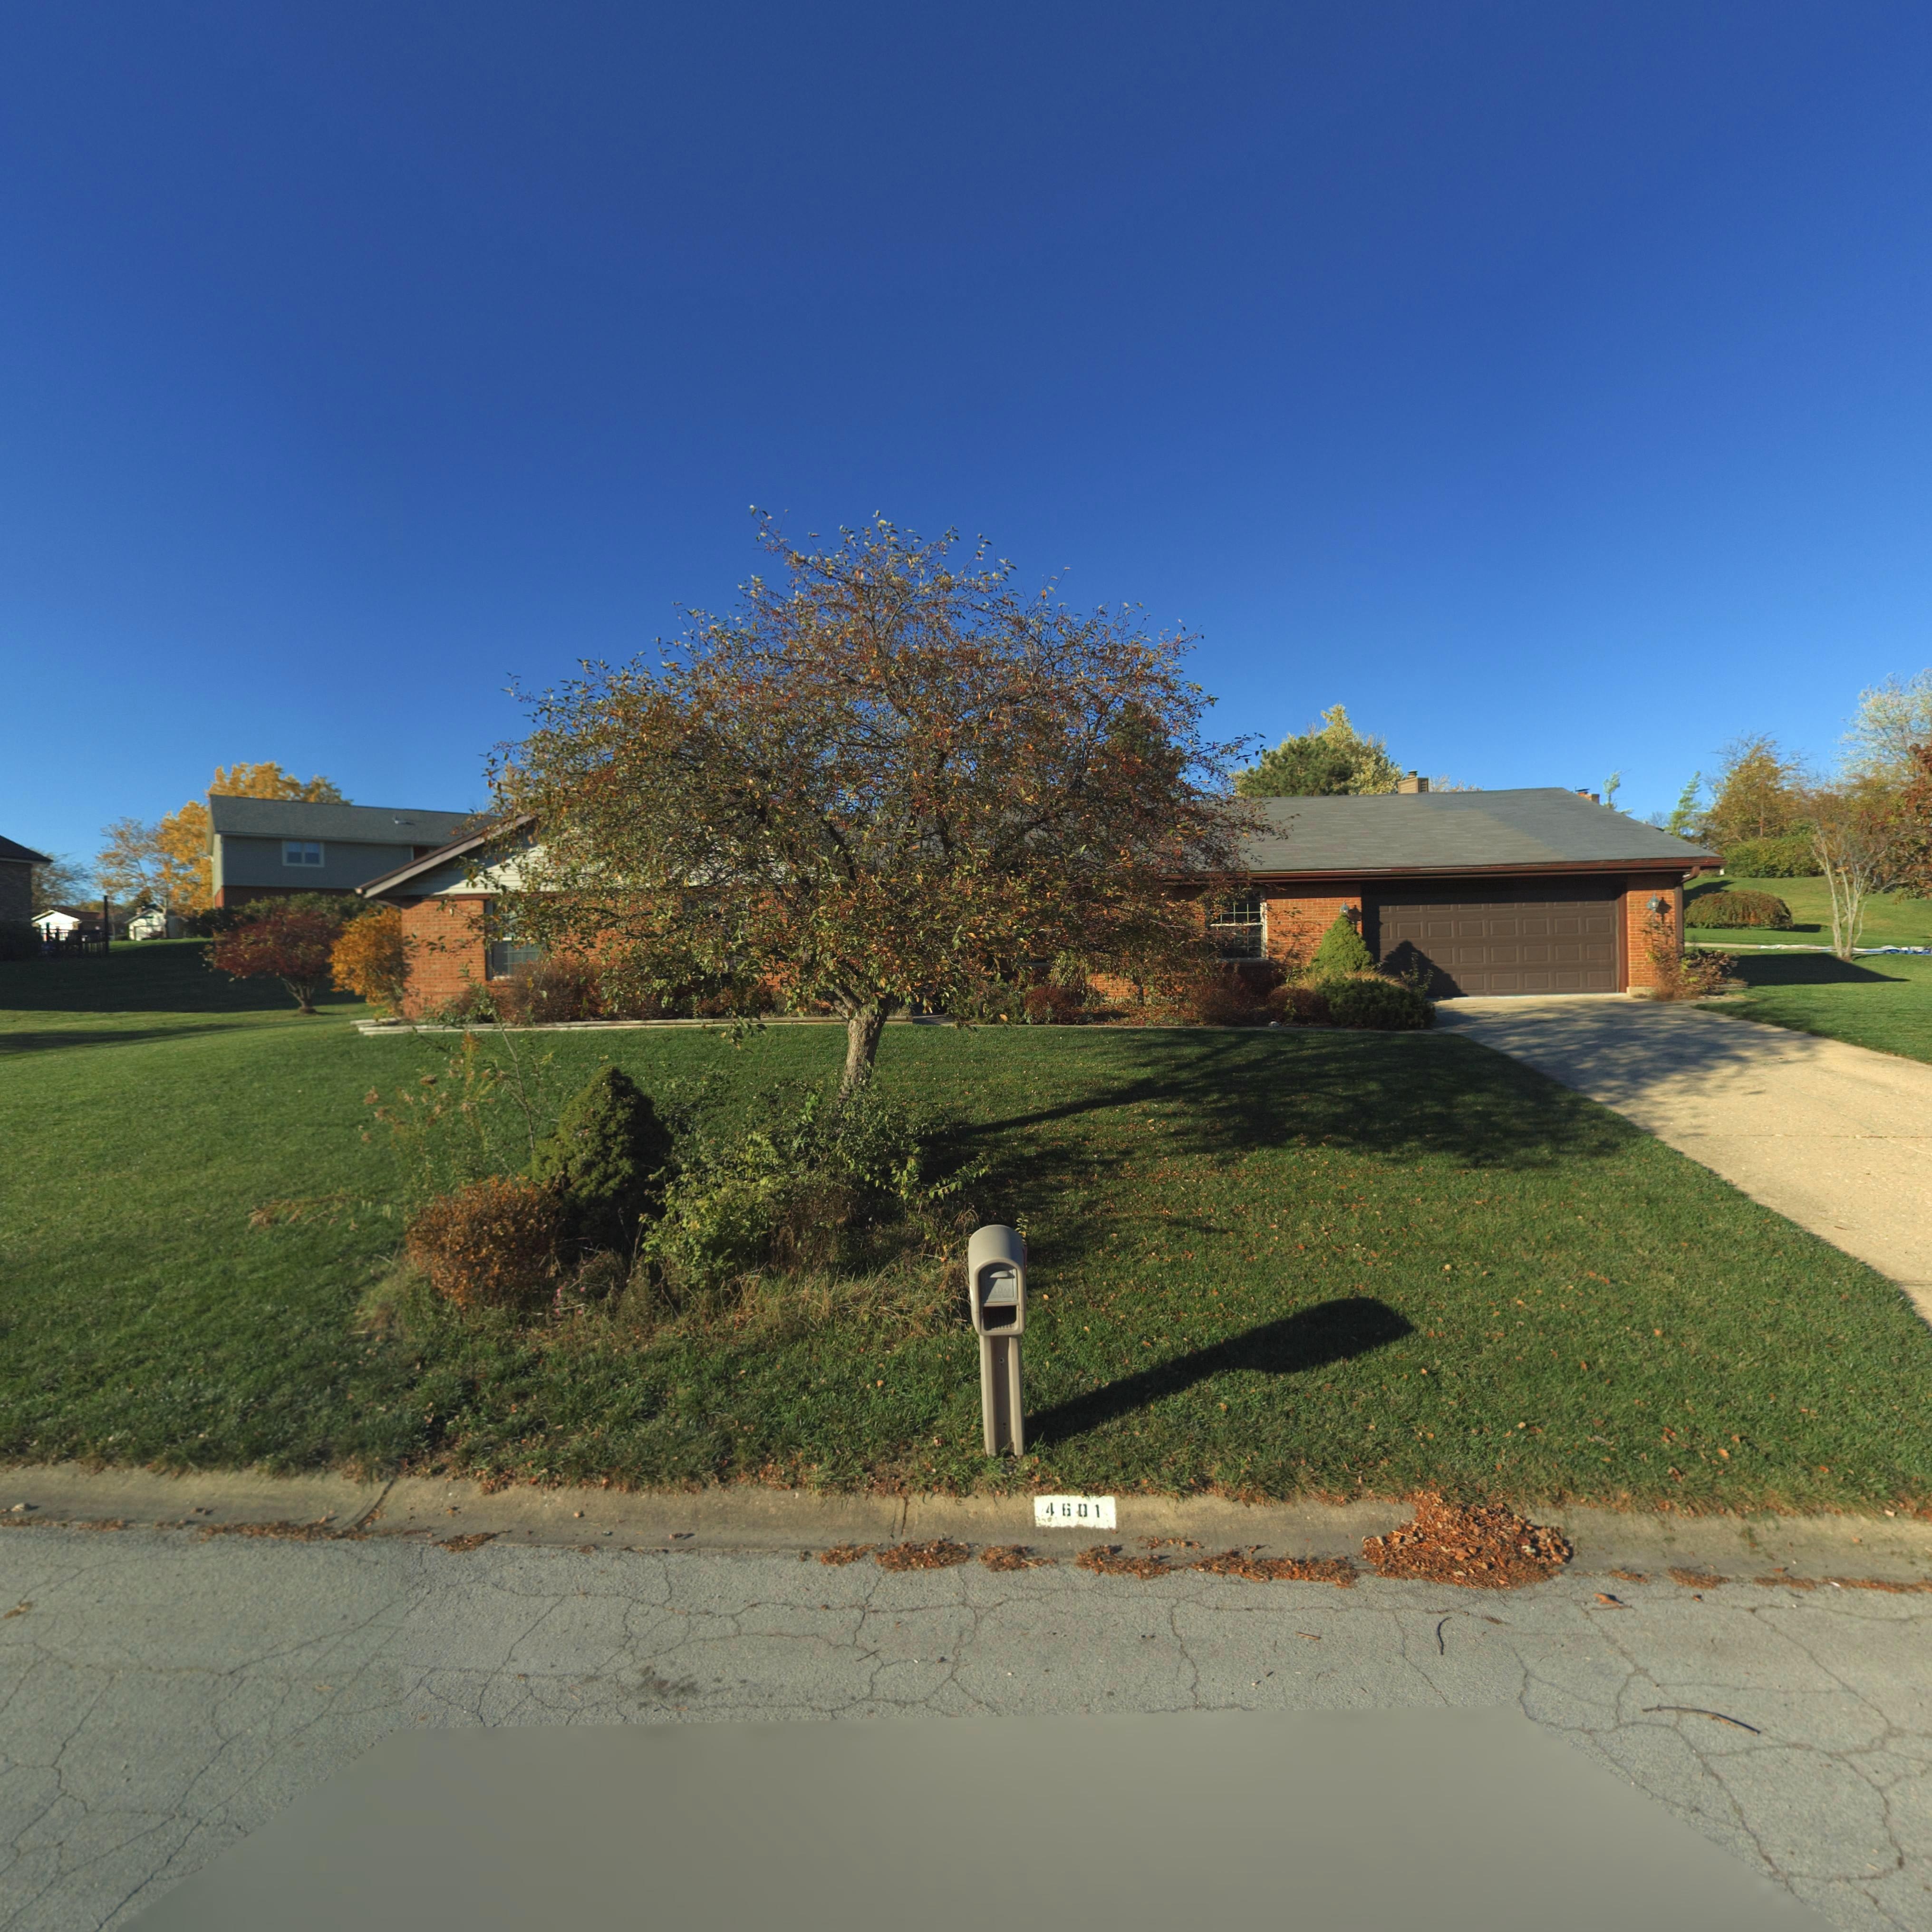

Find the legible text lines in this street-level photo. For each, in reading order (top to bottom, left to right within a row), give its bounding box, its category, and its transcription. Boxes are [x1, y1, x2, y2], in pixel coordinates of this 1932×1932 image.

[1044, 1501, 1101, 1519] StreetNumber: 4601